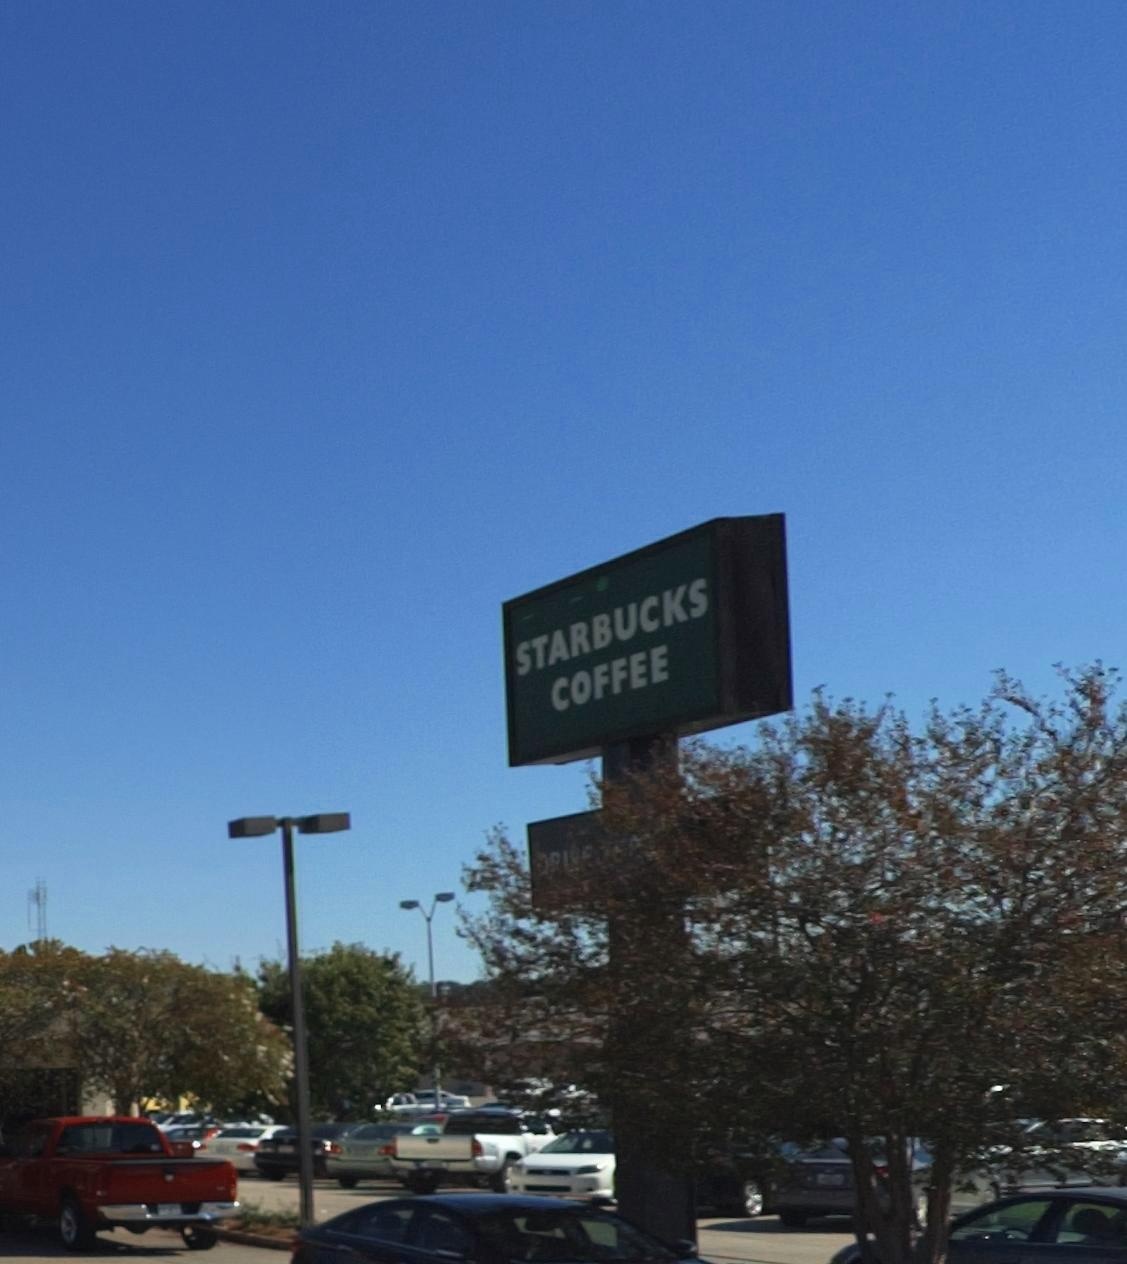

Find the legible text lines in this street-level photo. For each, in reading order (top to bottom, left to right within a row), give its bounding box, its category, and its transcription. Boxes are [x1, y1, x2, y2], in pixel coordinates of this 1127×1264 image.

[549, 640, 671, 717] BusinessName: COFFEE
[513, 571, 710, 681] BusinessName: STARBUCKS